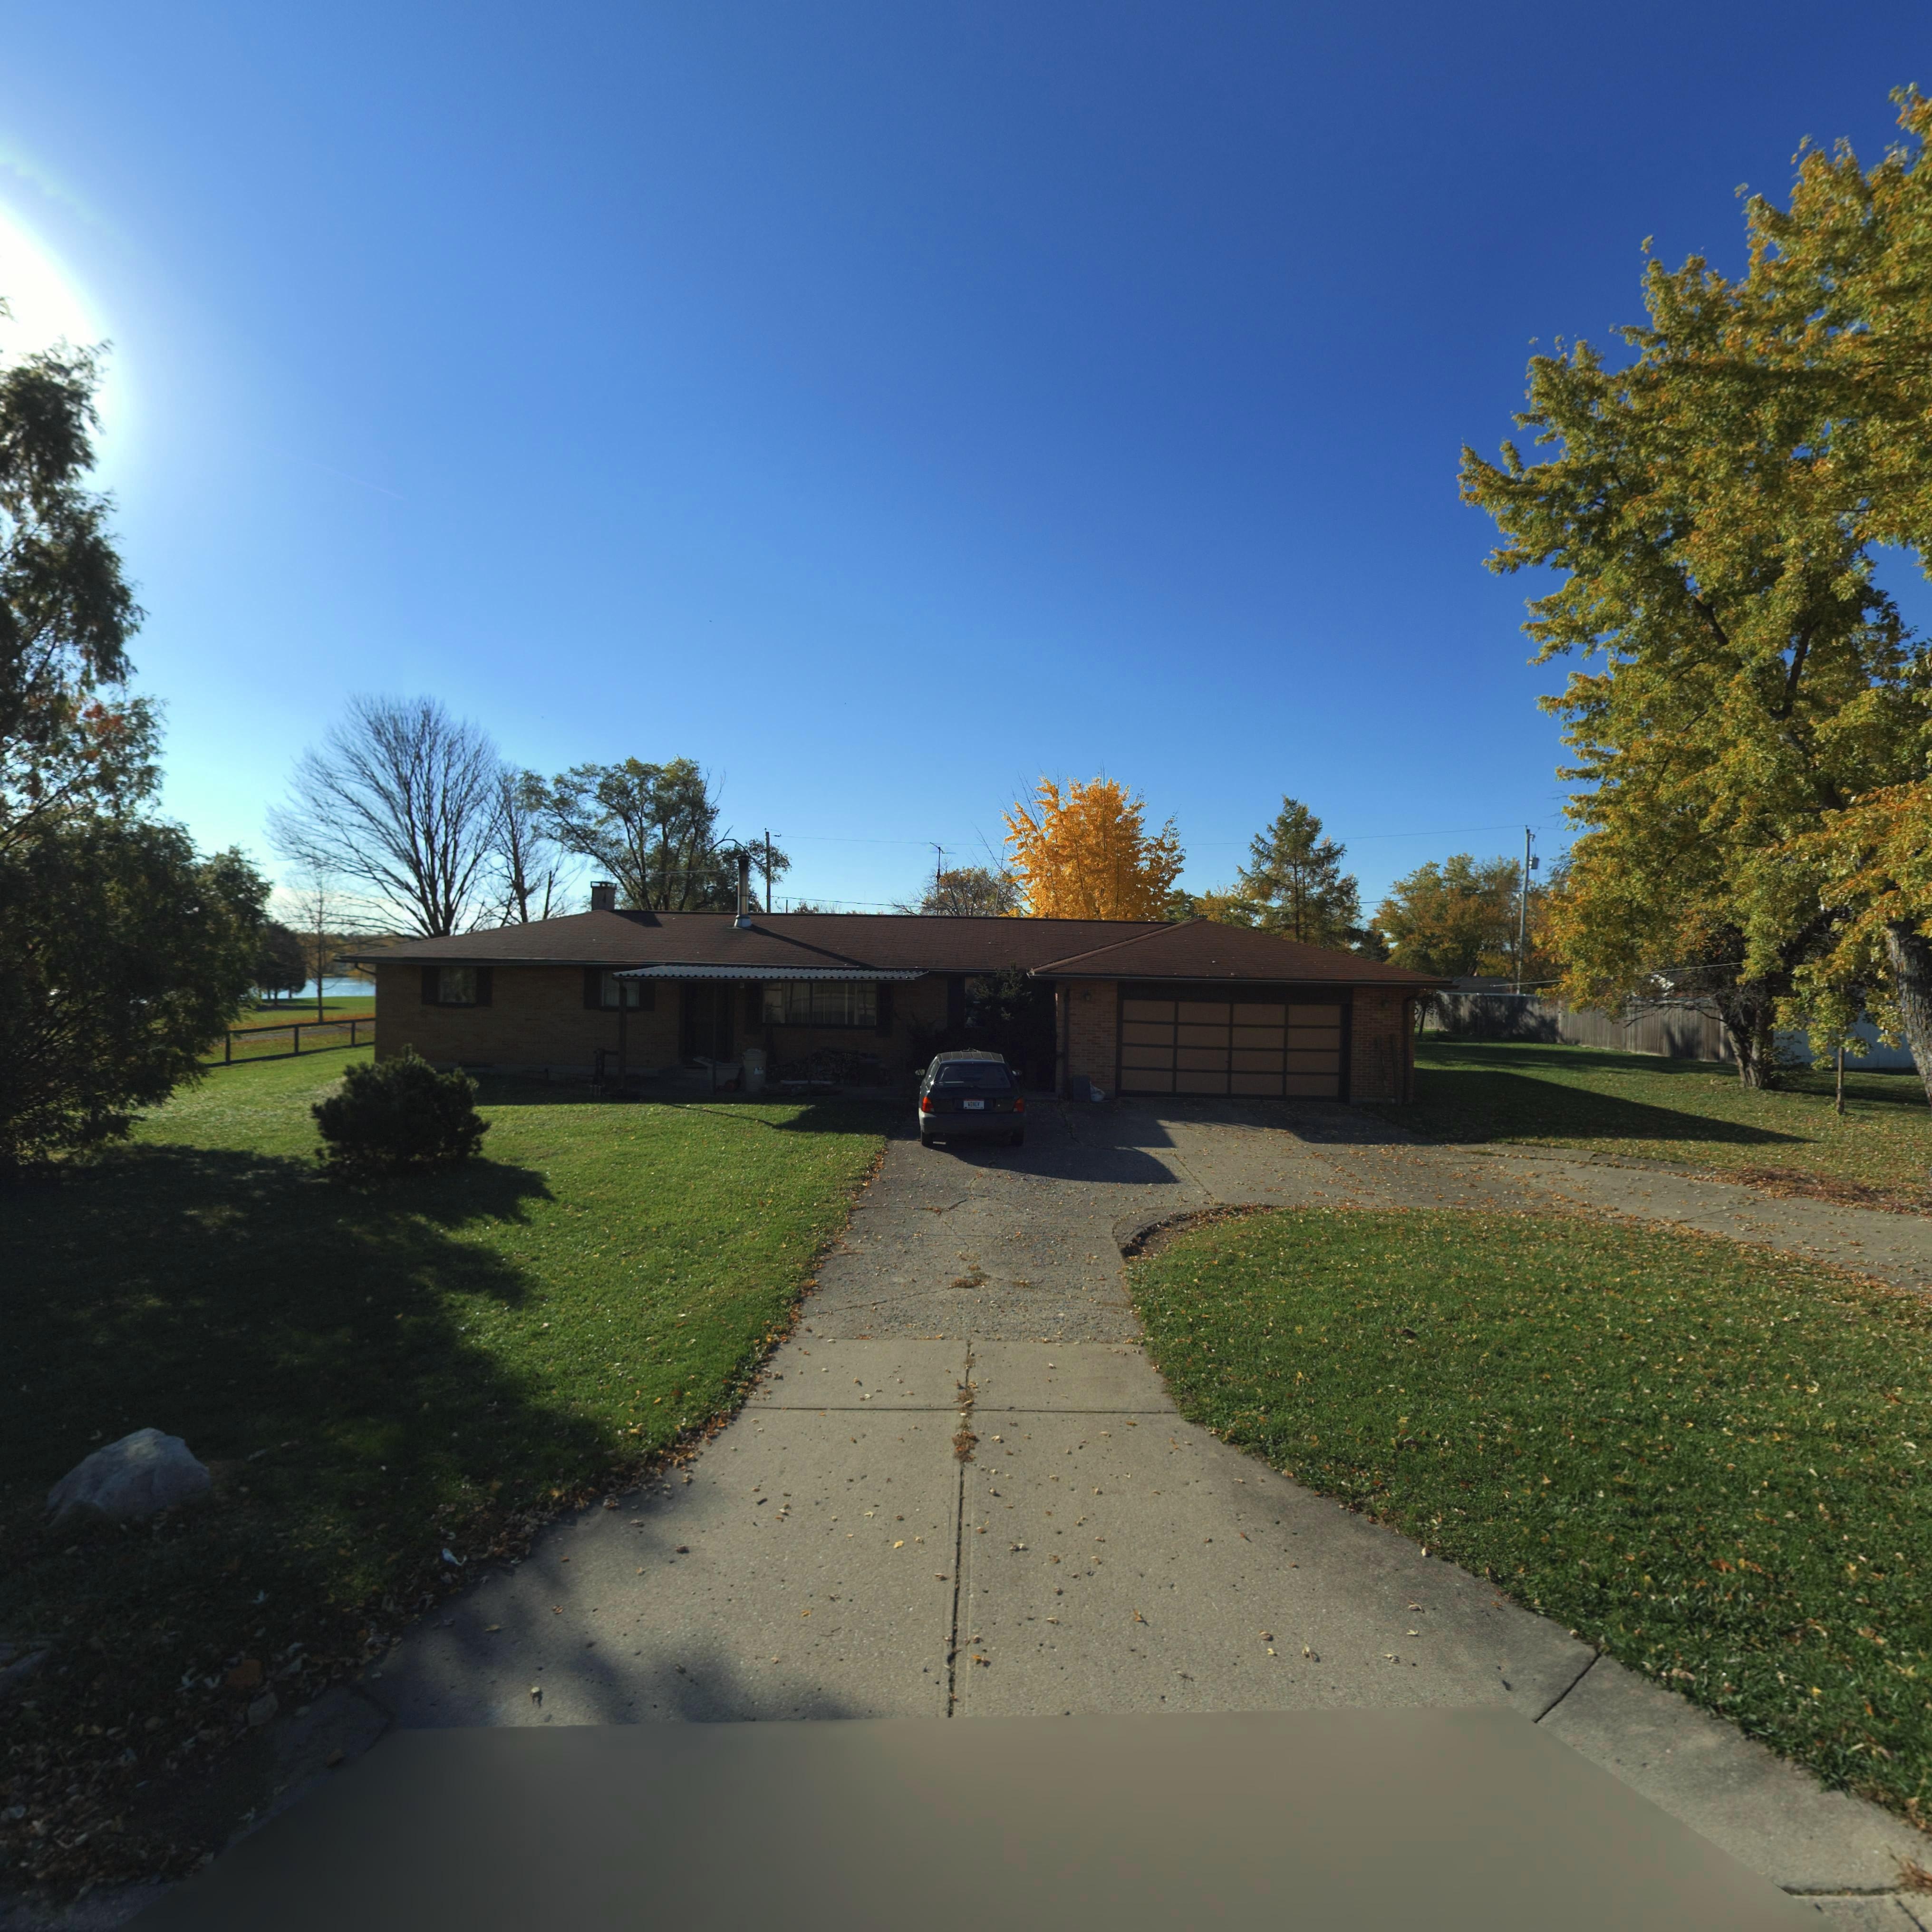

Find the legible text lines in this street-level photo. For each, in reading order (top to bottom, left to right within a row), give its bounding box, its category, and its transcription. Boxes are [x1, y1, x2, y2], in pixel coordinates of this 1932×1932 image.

[596, 1049, 602, 1070] StreetNumber: *13